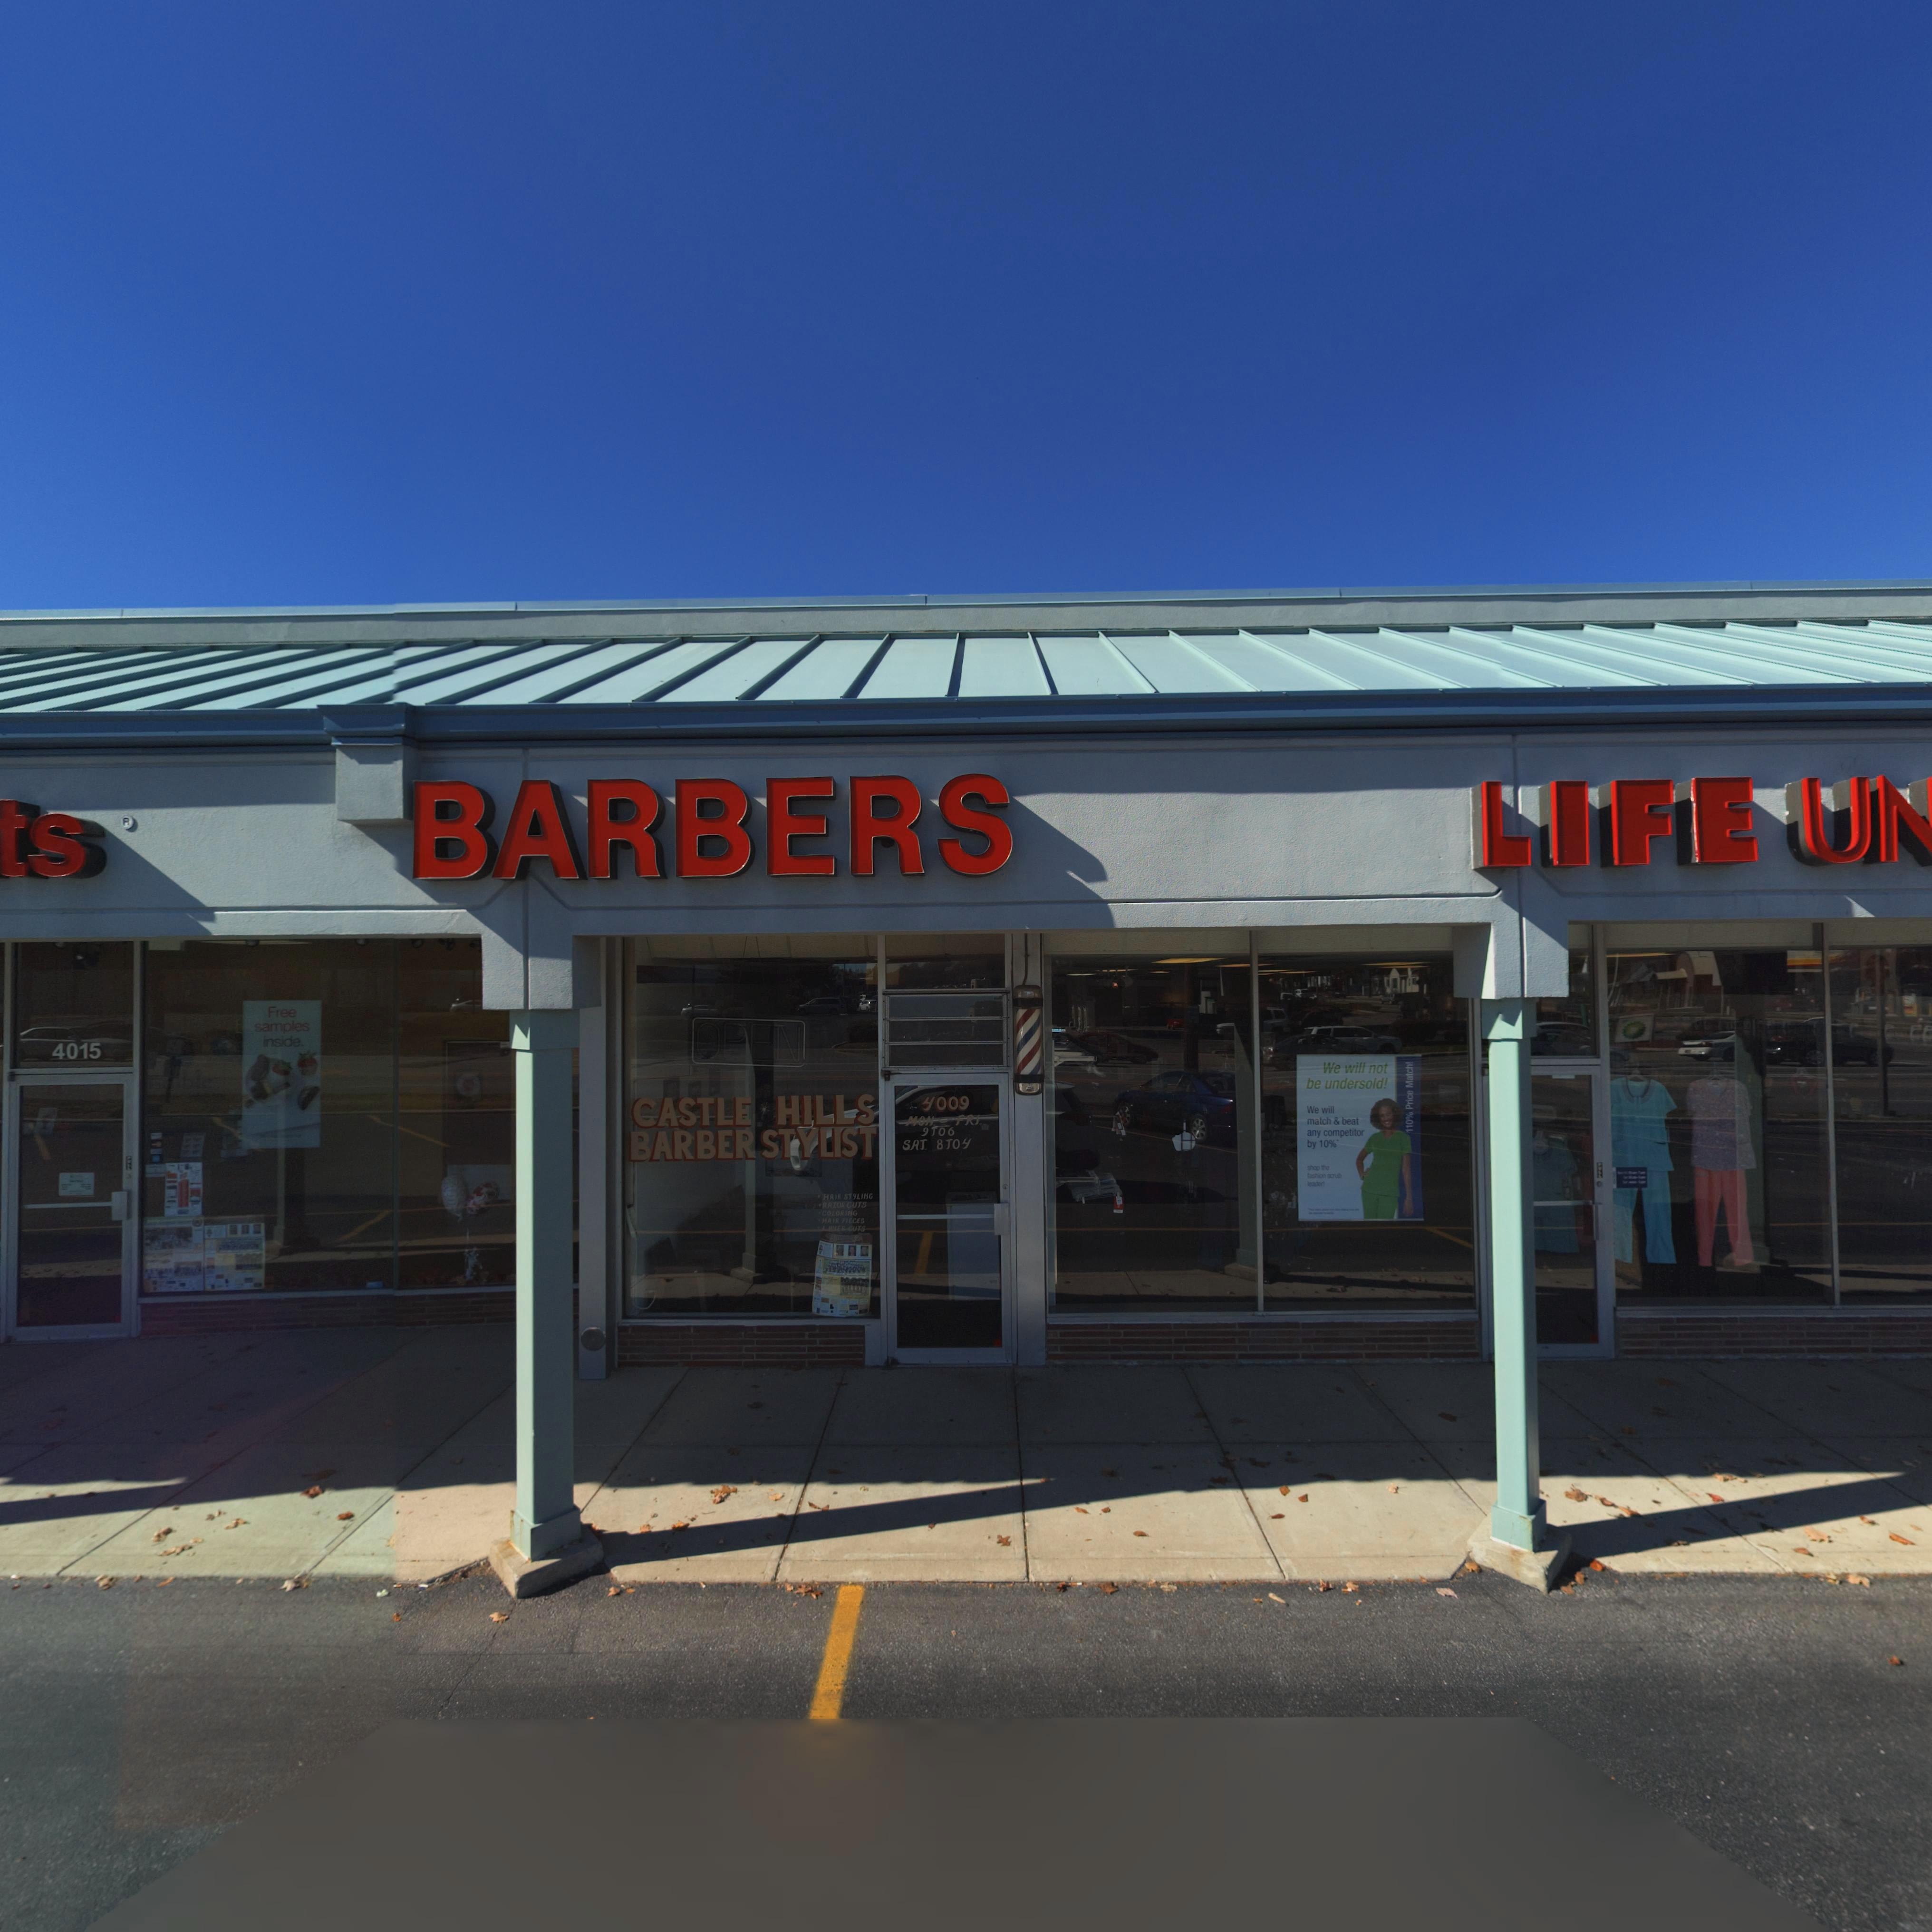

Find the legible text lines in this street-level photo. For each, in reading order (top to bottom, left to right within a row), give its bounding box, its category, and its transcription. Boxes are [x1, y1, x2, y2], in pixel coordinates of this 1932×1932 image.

[406, 770, 1016, 884] BusinessName: BARBERS
[1478, 774, 1874, 869] BusinessName: LIFE U
[25, 811, 87, 881] BusinessName: s
[267, 1005, 298, 1019] None: Free
[253, 1019, 311, 1036] None: samples
[261, 1034, 302, 1049] None: inside
[50, 1041, 103, 1061] StreetNumber: 4015
[1322, 1061, 1390, 1075] None: We will not
[1305, 1076, 1390, 1091] None: be undersold
[628, 1091, 878, 1128] BusinessName: CASTLE HILLS
[920, 1093, 970, 1114] StreetNumber: 4009
[1305, 1104, 1335, 1115] None: We will
[1404, 1061, 1414, 1134] None: 110% Price Match!
[903, 1112, 982, 1127] None: MON-FRI
[1305, 1116, 1360, 1127] None: match & beat
[919, 1126, 956, 1138] None: 9TO6
[1306, 1128, 1366, 1139] None: any competitor
[626, 1125, 879, 1164] BusinessName: BARBER STYLIST
[901, 1137, 973, 1151] None: SAT 8TO4
[1306, 1139, 1337, 1150] None: by 10%
[1306, 1163, 1331, 1172] None: shop the
[1306, 1172, 1343, 1179] None: fashion scrub
[822, 1192, 874, 1201] None: HAIR STYLING
[821, 1200, 868, 1209] None: RAZOR CUTS
[821, 1209, 859, 1217] None: COLORING
[821, 1217, 866, 1225] None: HAIR PIECES
[821, 1225, 867, 1233] None: L**ER CUTS